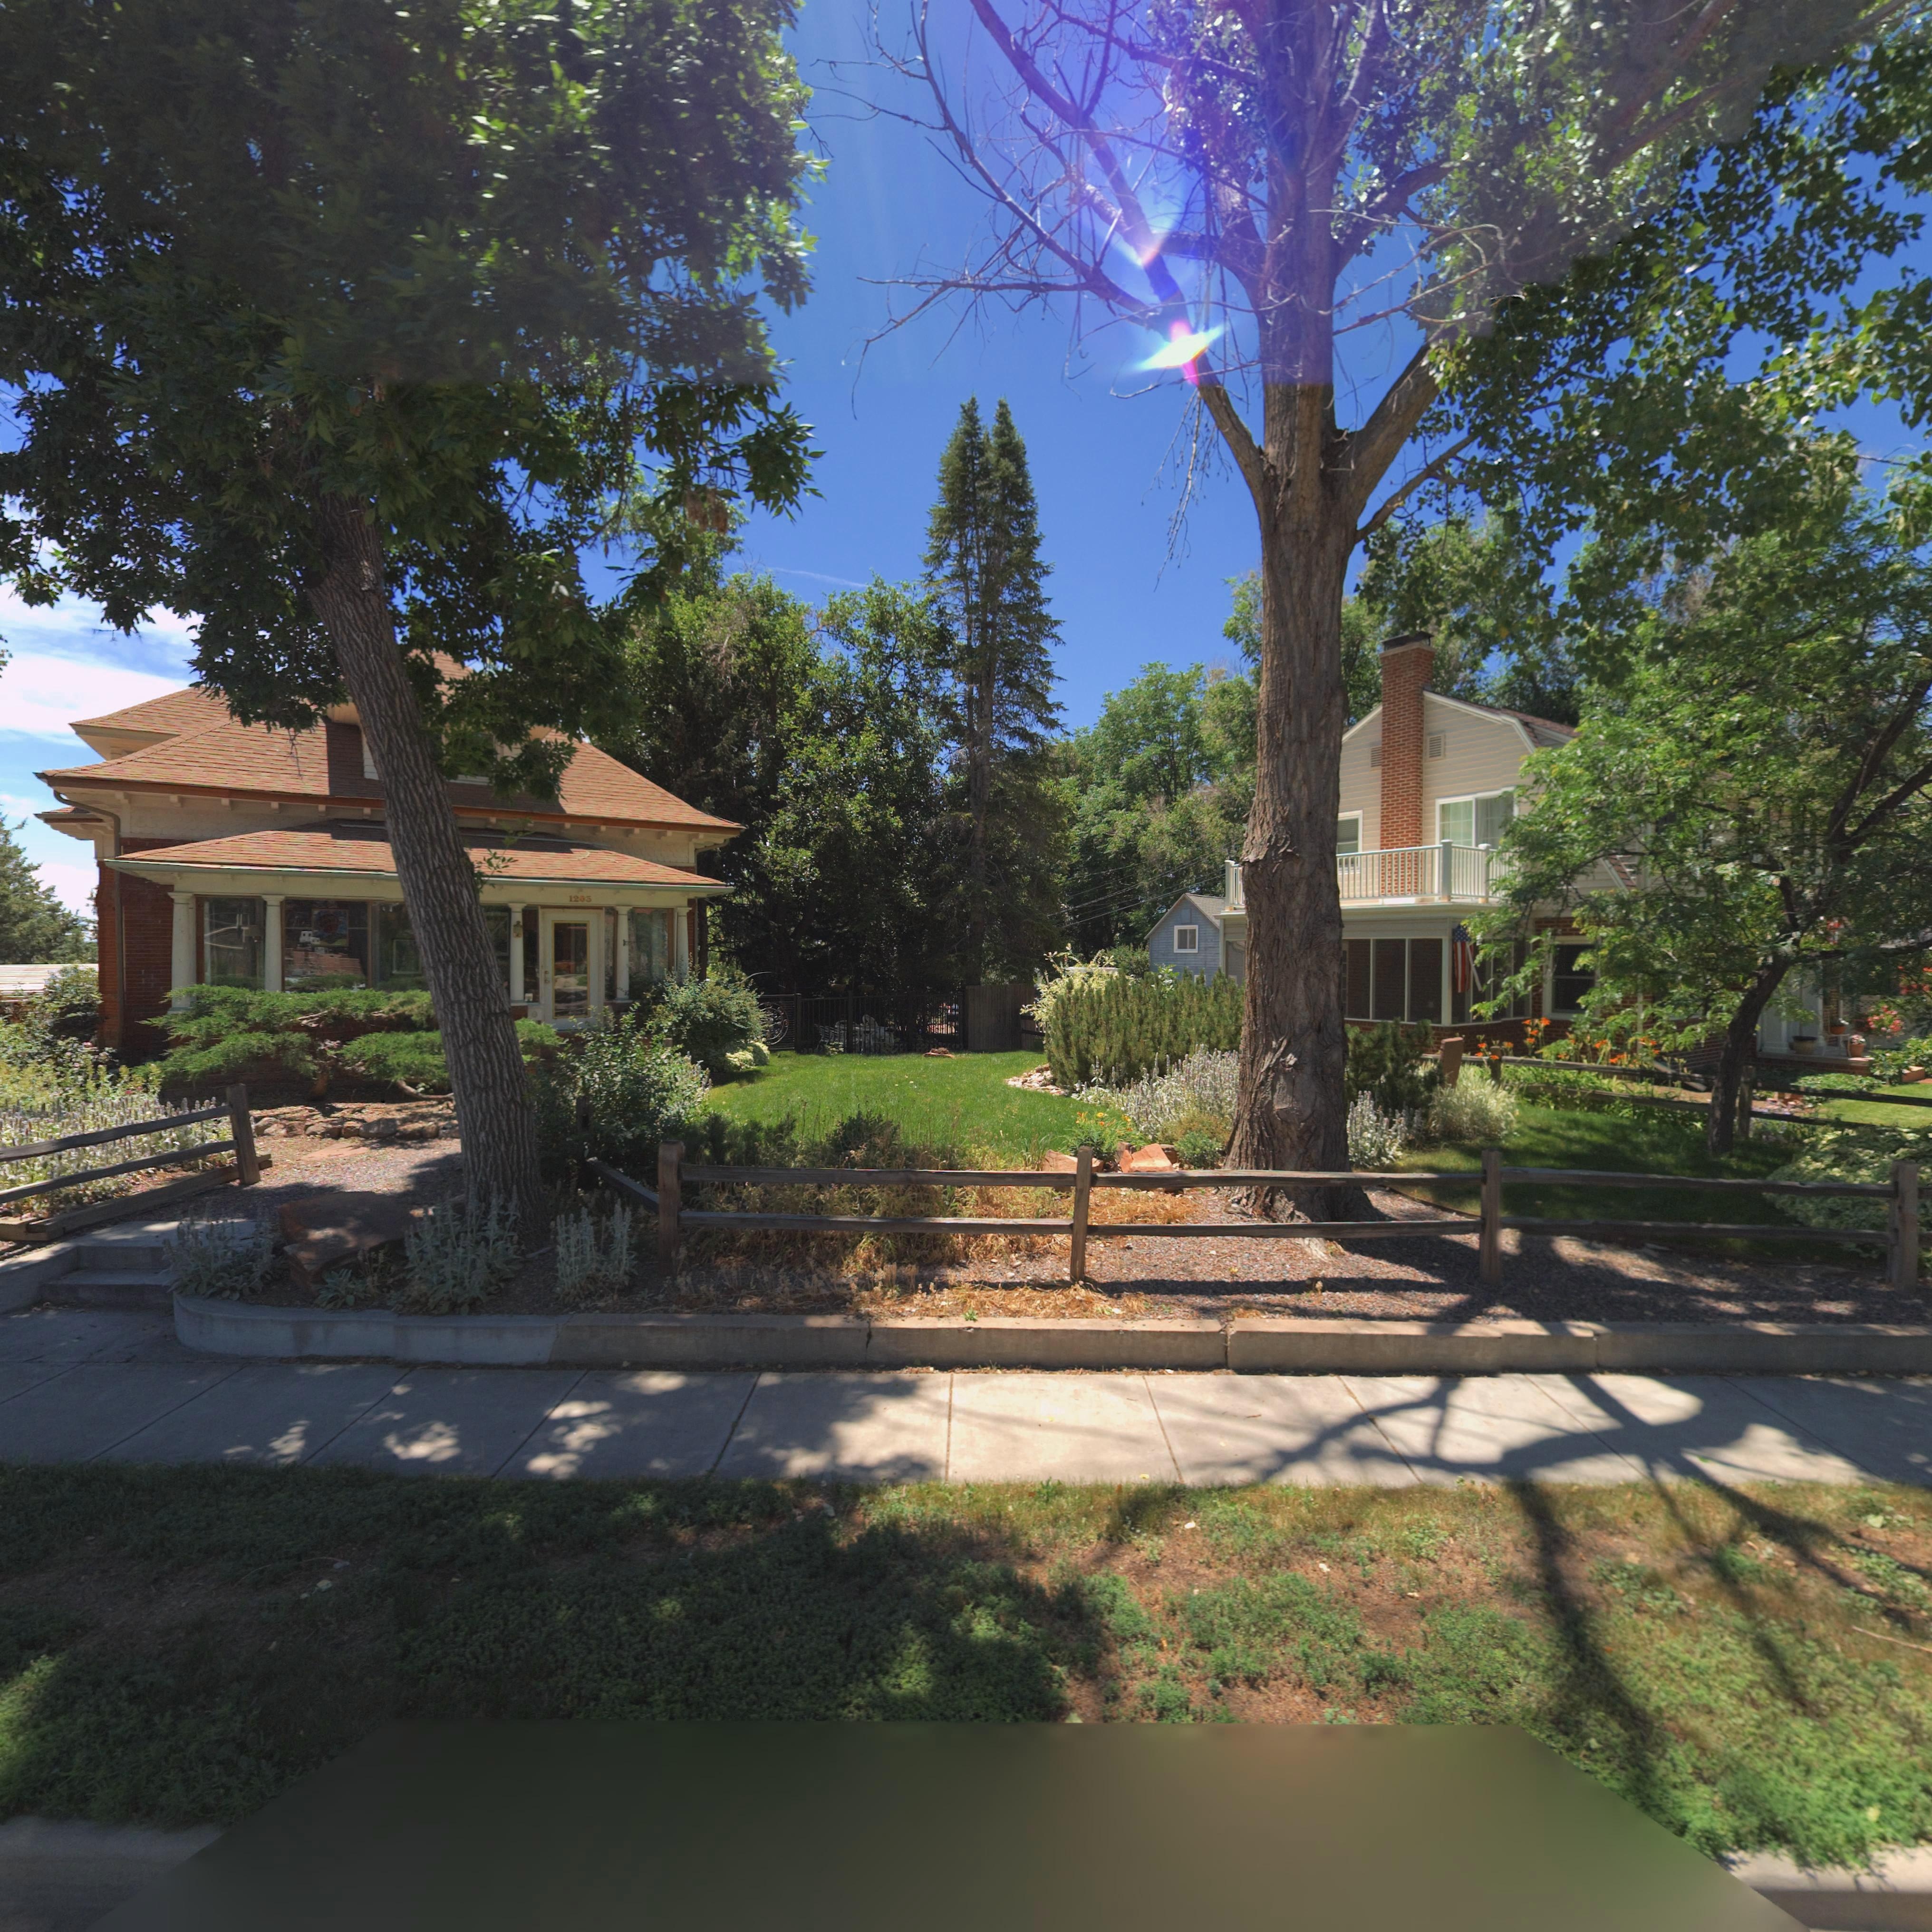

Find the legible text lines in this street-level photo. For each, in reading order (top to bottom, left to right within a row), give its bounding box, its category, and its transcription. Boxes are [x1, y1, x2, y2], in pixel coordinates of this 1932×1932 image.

[569, 895, 592, 902] StreetNumber: 120*